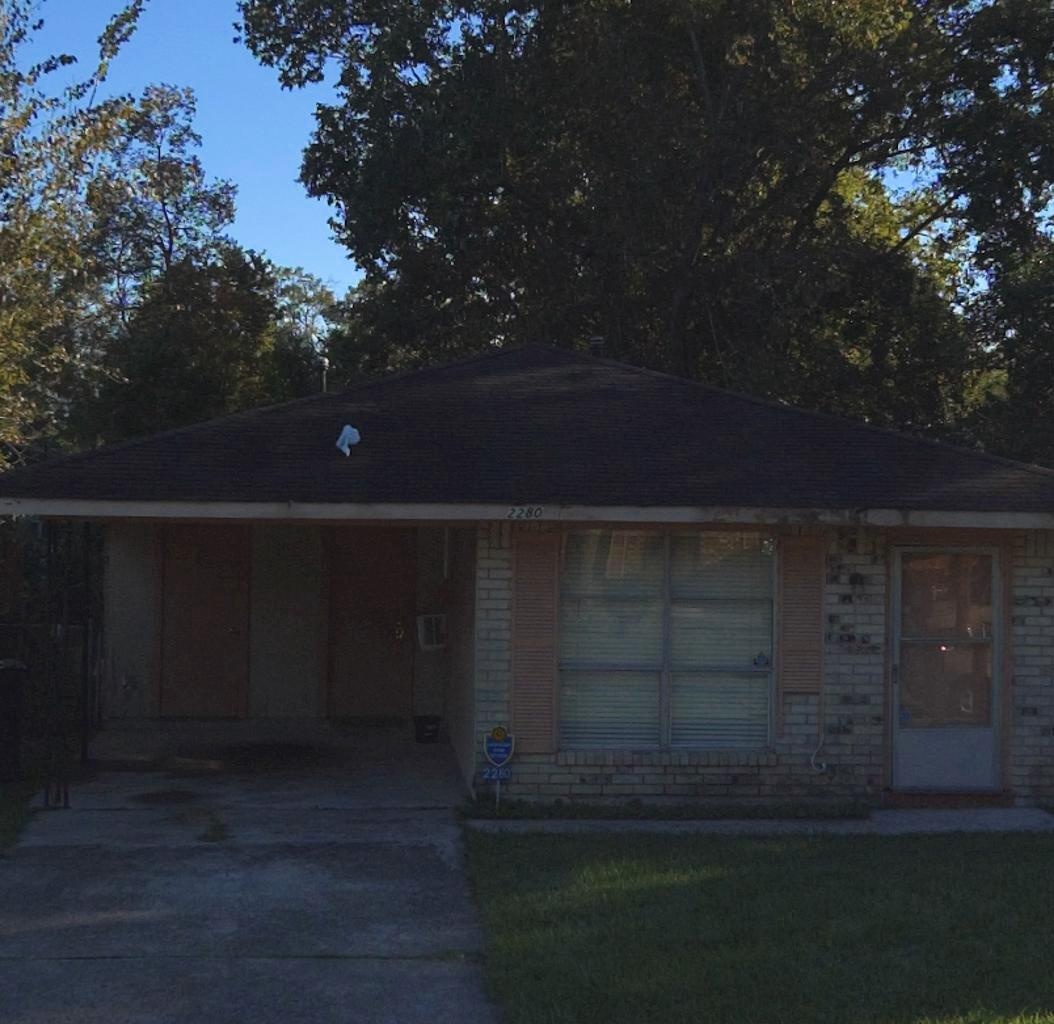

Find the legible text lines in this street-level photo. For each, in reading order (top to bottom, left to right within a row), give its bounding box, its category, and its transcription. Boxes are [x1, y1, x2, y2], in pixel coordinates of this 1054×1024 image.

[505, 506, 545, 519] StreetNumber: 2280
[482, 767, 511, 780] StreetNumber: 2280